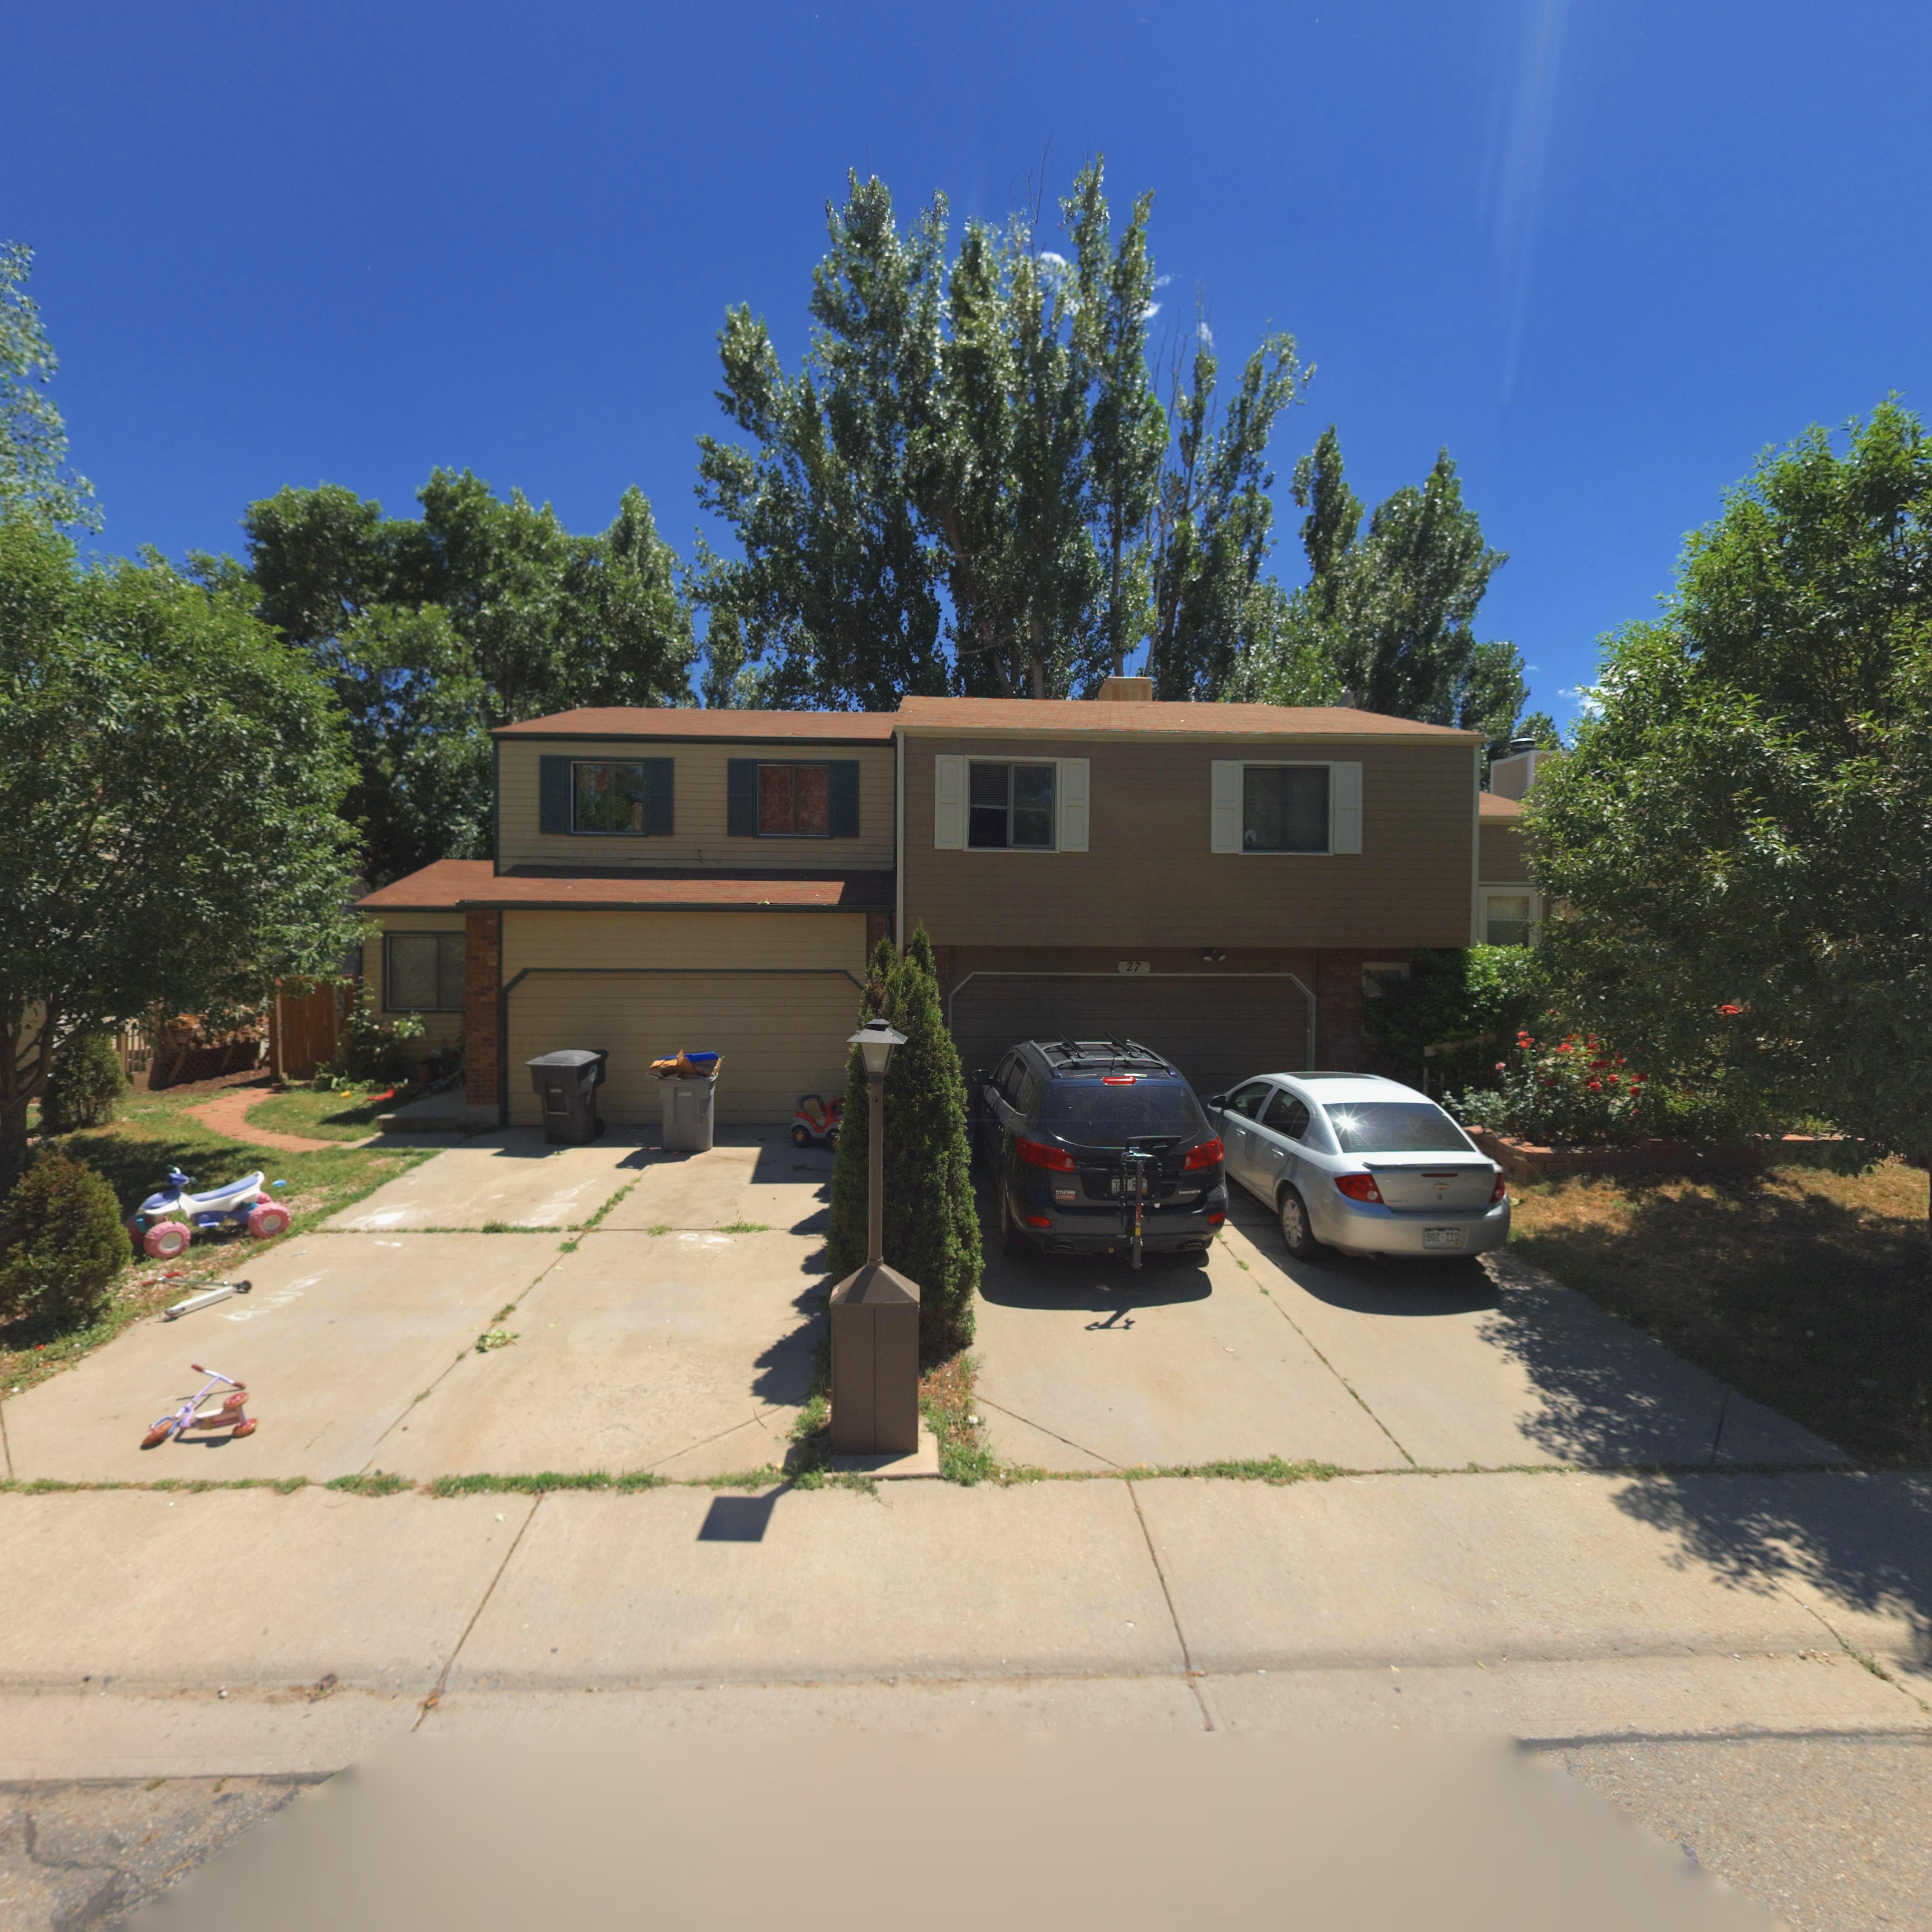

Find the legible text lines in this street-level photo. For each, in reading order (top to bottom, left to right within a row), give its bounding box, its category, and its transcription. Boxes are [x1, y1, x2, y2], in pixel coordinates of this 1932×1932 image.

[1125, 961, 1142, 972] StreetNumber: 27